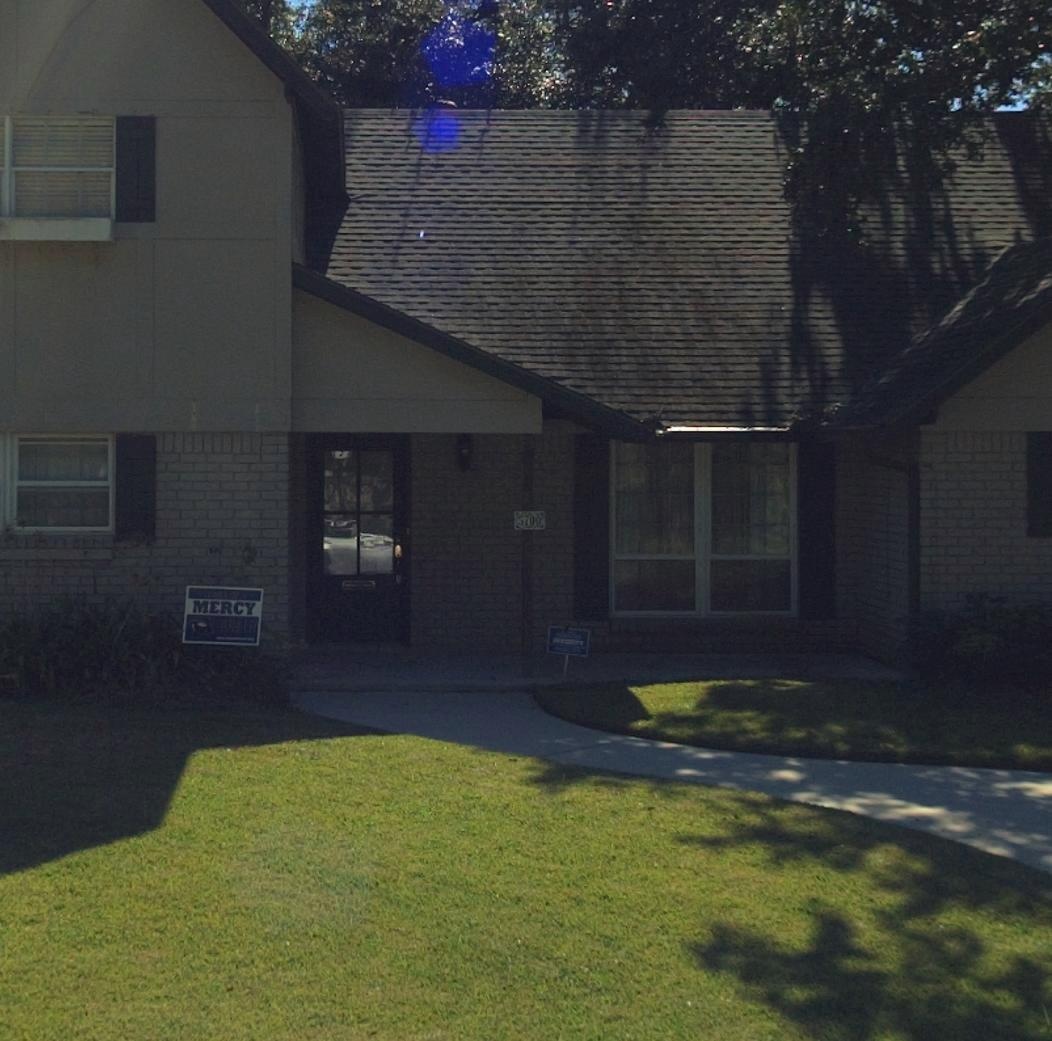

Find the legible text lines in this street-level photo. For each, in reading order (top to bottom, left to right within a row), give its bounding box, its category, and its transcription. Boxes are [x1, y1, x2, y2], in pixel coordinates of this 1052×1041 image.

[516, 513, 543, 528] StreetNumber: 5700
[190, 597, 259, 617] None: MERCY